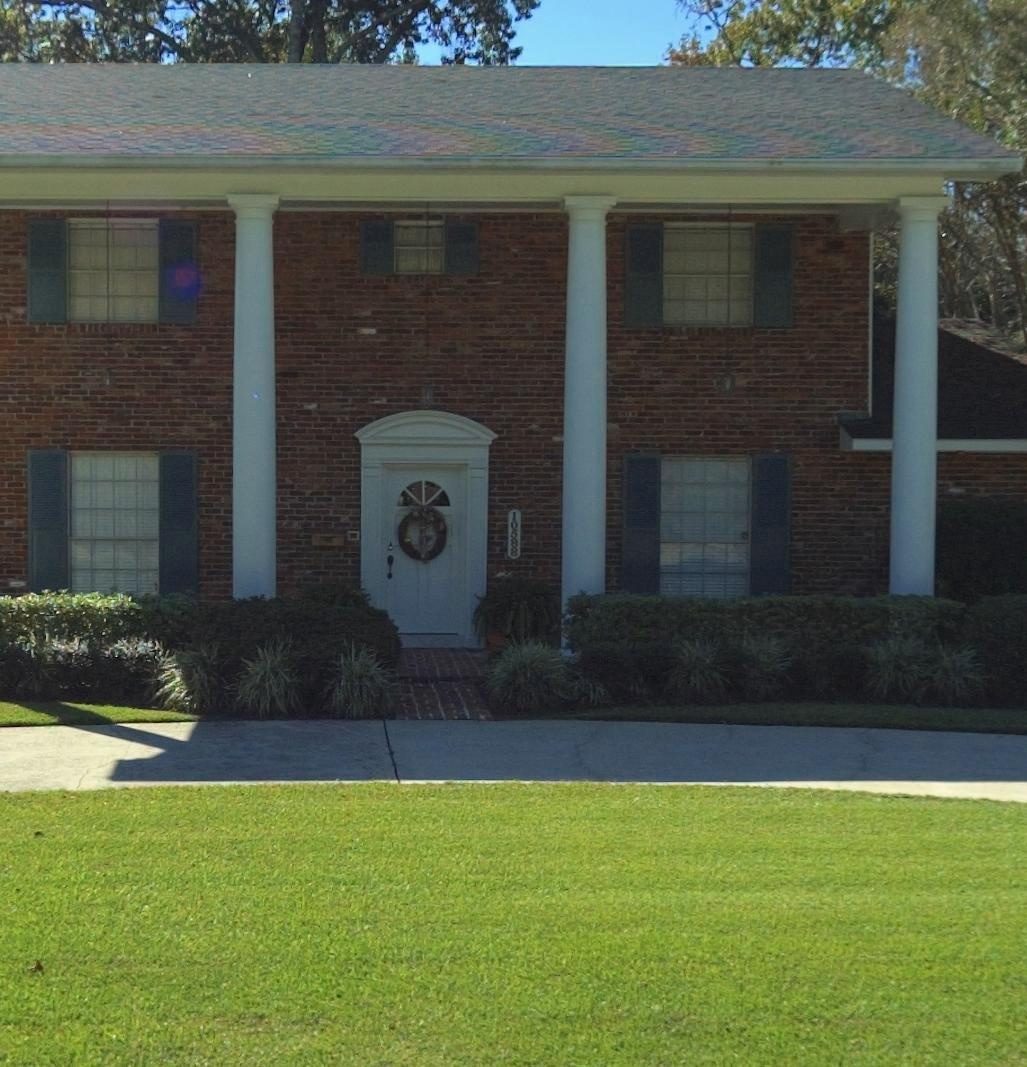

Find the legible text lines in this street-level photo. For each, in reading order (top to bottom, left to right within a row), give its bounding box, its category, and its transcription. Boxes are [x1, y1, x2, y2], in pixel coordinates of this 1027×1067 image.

[508, 509, 521, 559] StreetNumber: 10588